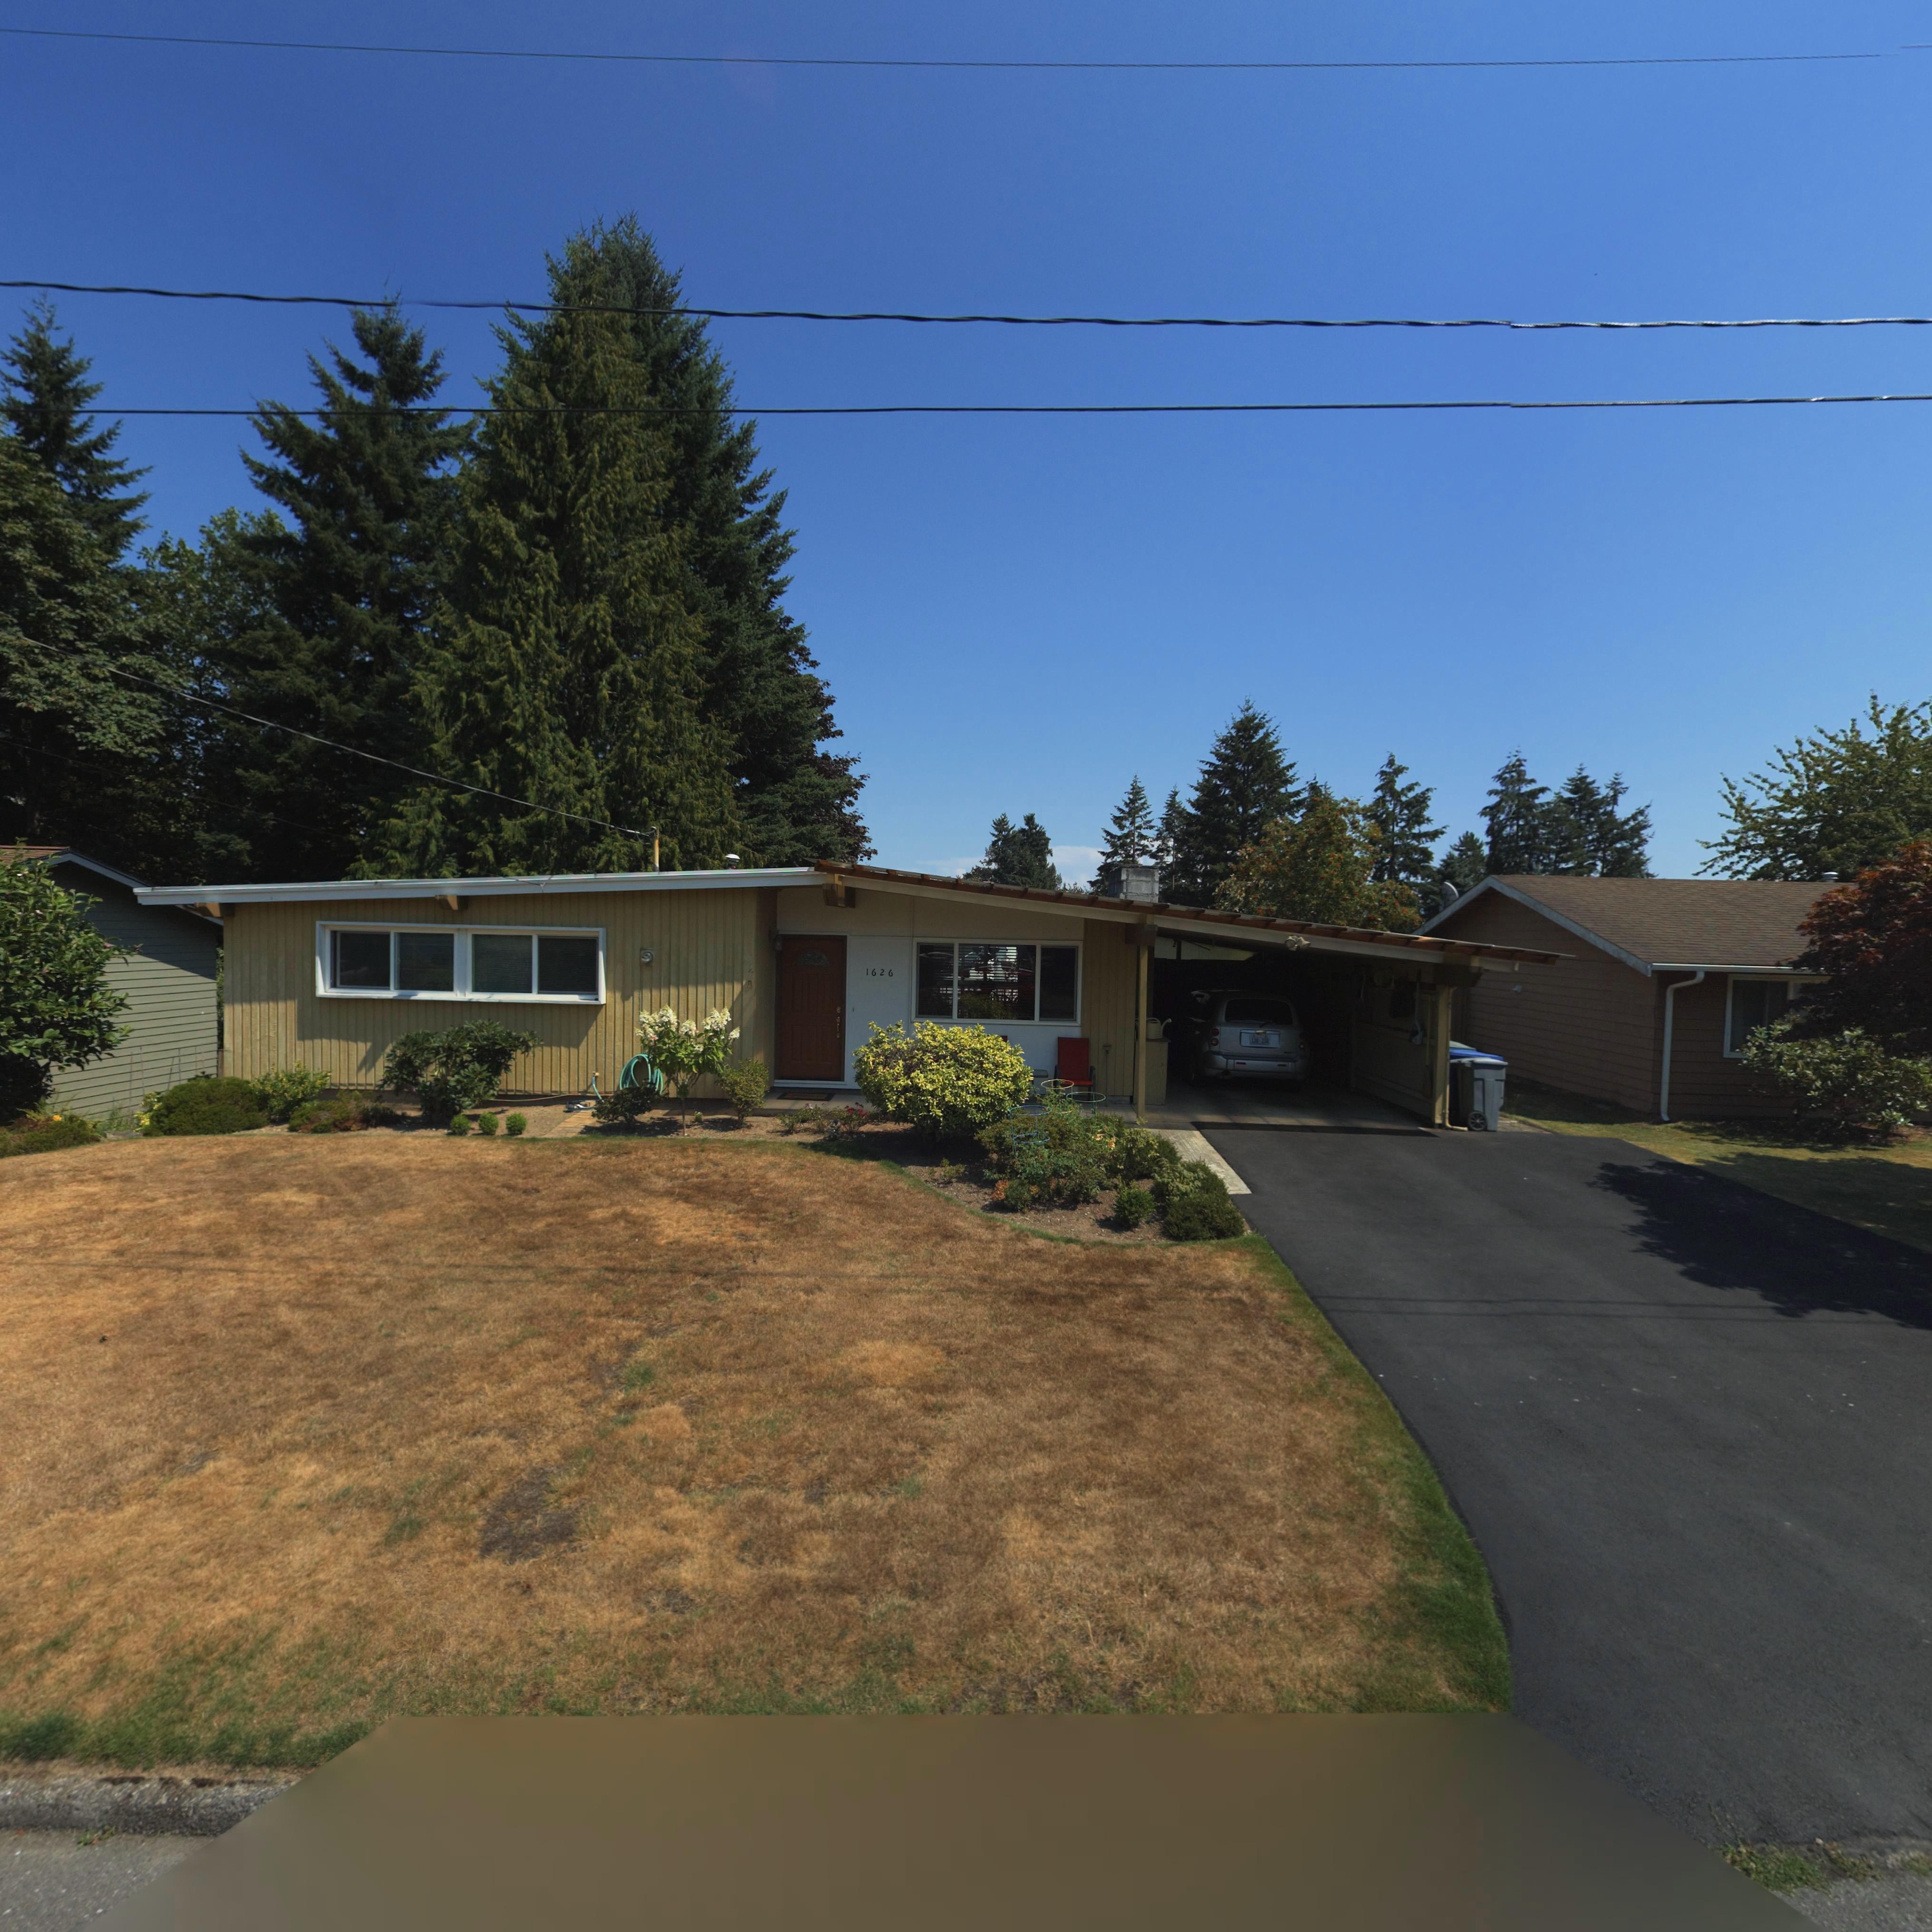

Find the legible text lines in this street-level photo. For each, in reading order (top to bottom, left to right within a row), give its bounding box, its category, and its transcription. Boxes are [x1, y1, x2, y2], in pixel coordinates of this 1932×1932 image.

[865, 966, 894, 978] StreetNumber: 1626